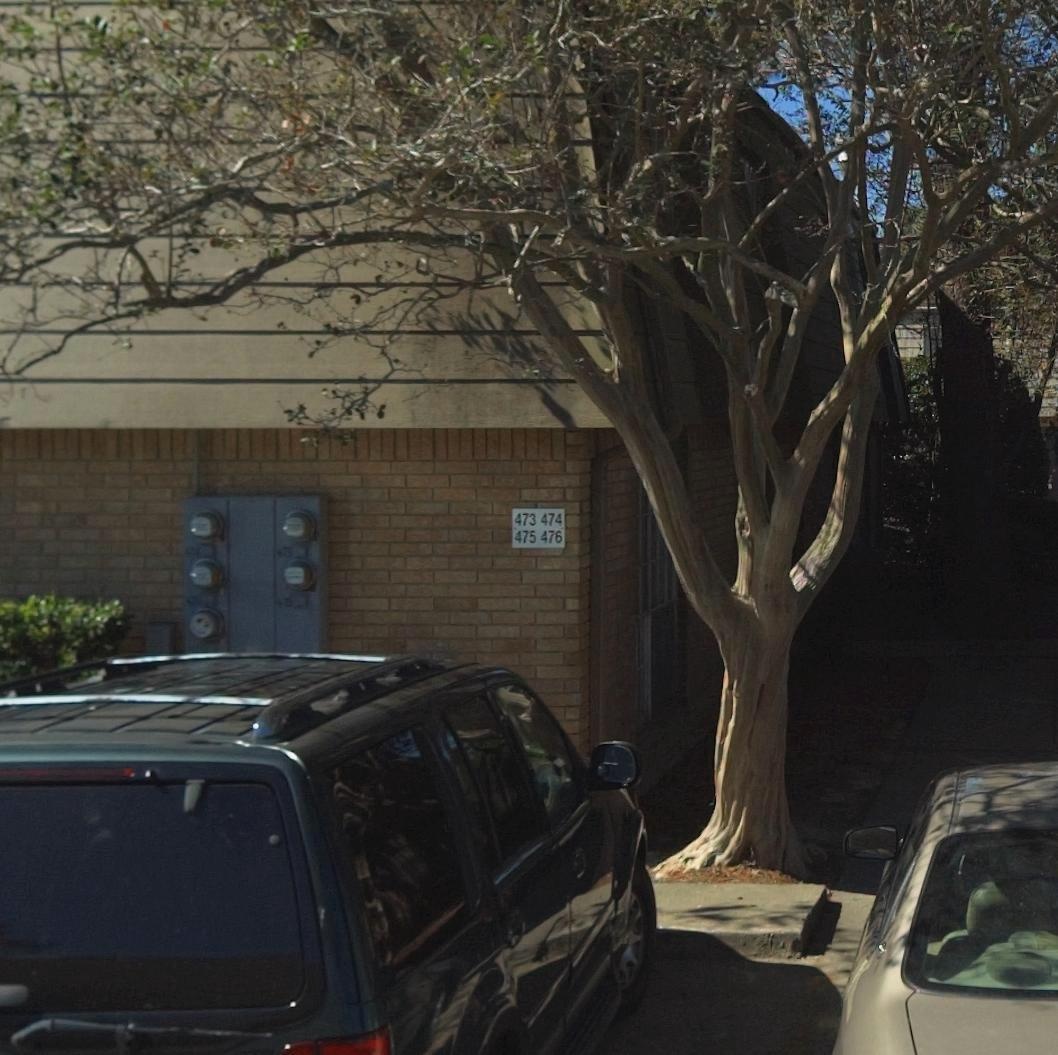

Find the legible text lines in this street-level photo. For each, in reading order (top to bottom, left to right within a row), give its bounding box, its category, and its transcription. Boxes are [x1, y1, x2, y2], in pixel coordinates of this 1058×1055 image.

[513, 511, 539, 528] StreetNumber: 473
[538, 511, 564, 528] StreetNumber: 474
[513, 528, 539, 546] StreetNumber: 475
[538, 528, 564, 546] StreetNumber: 476